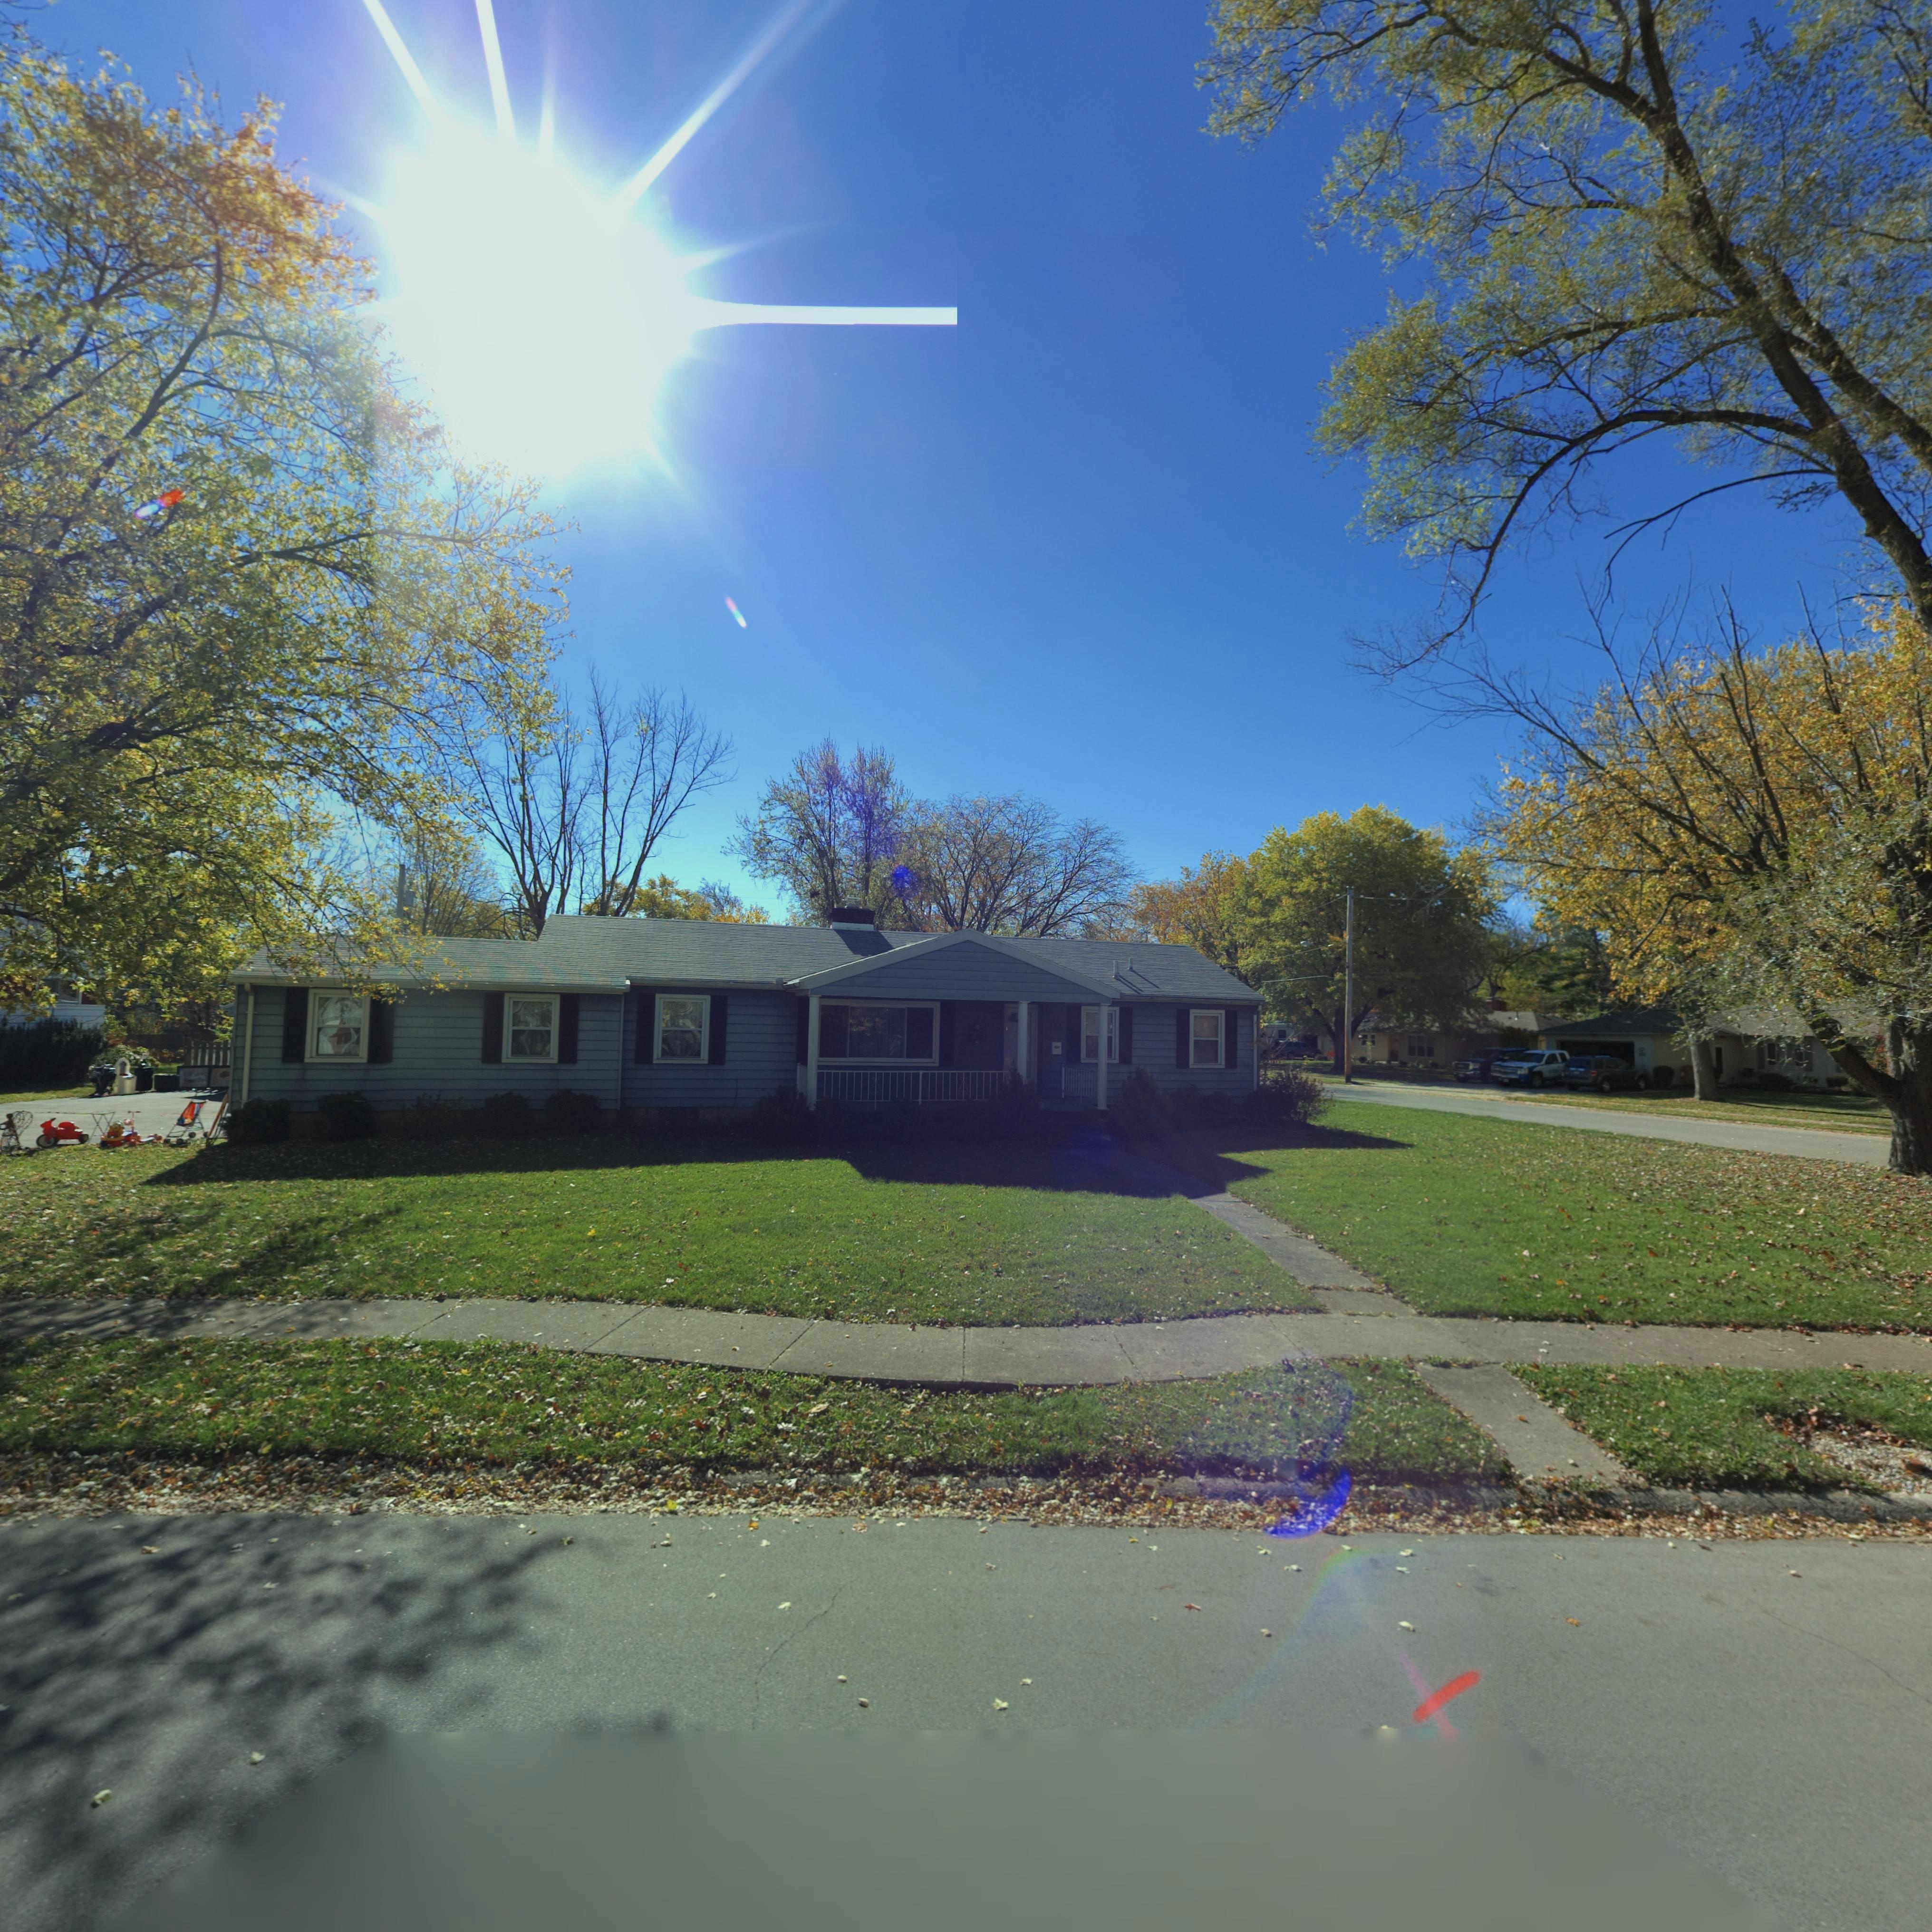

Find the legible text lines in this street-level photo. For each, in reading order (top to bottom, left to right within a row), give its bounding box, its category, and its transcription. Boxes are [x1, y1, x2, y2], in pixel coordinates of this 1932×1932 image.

[1048, 1023, 1063, 1029] StreetNumber: 2**